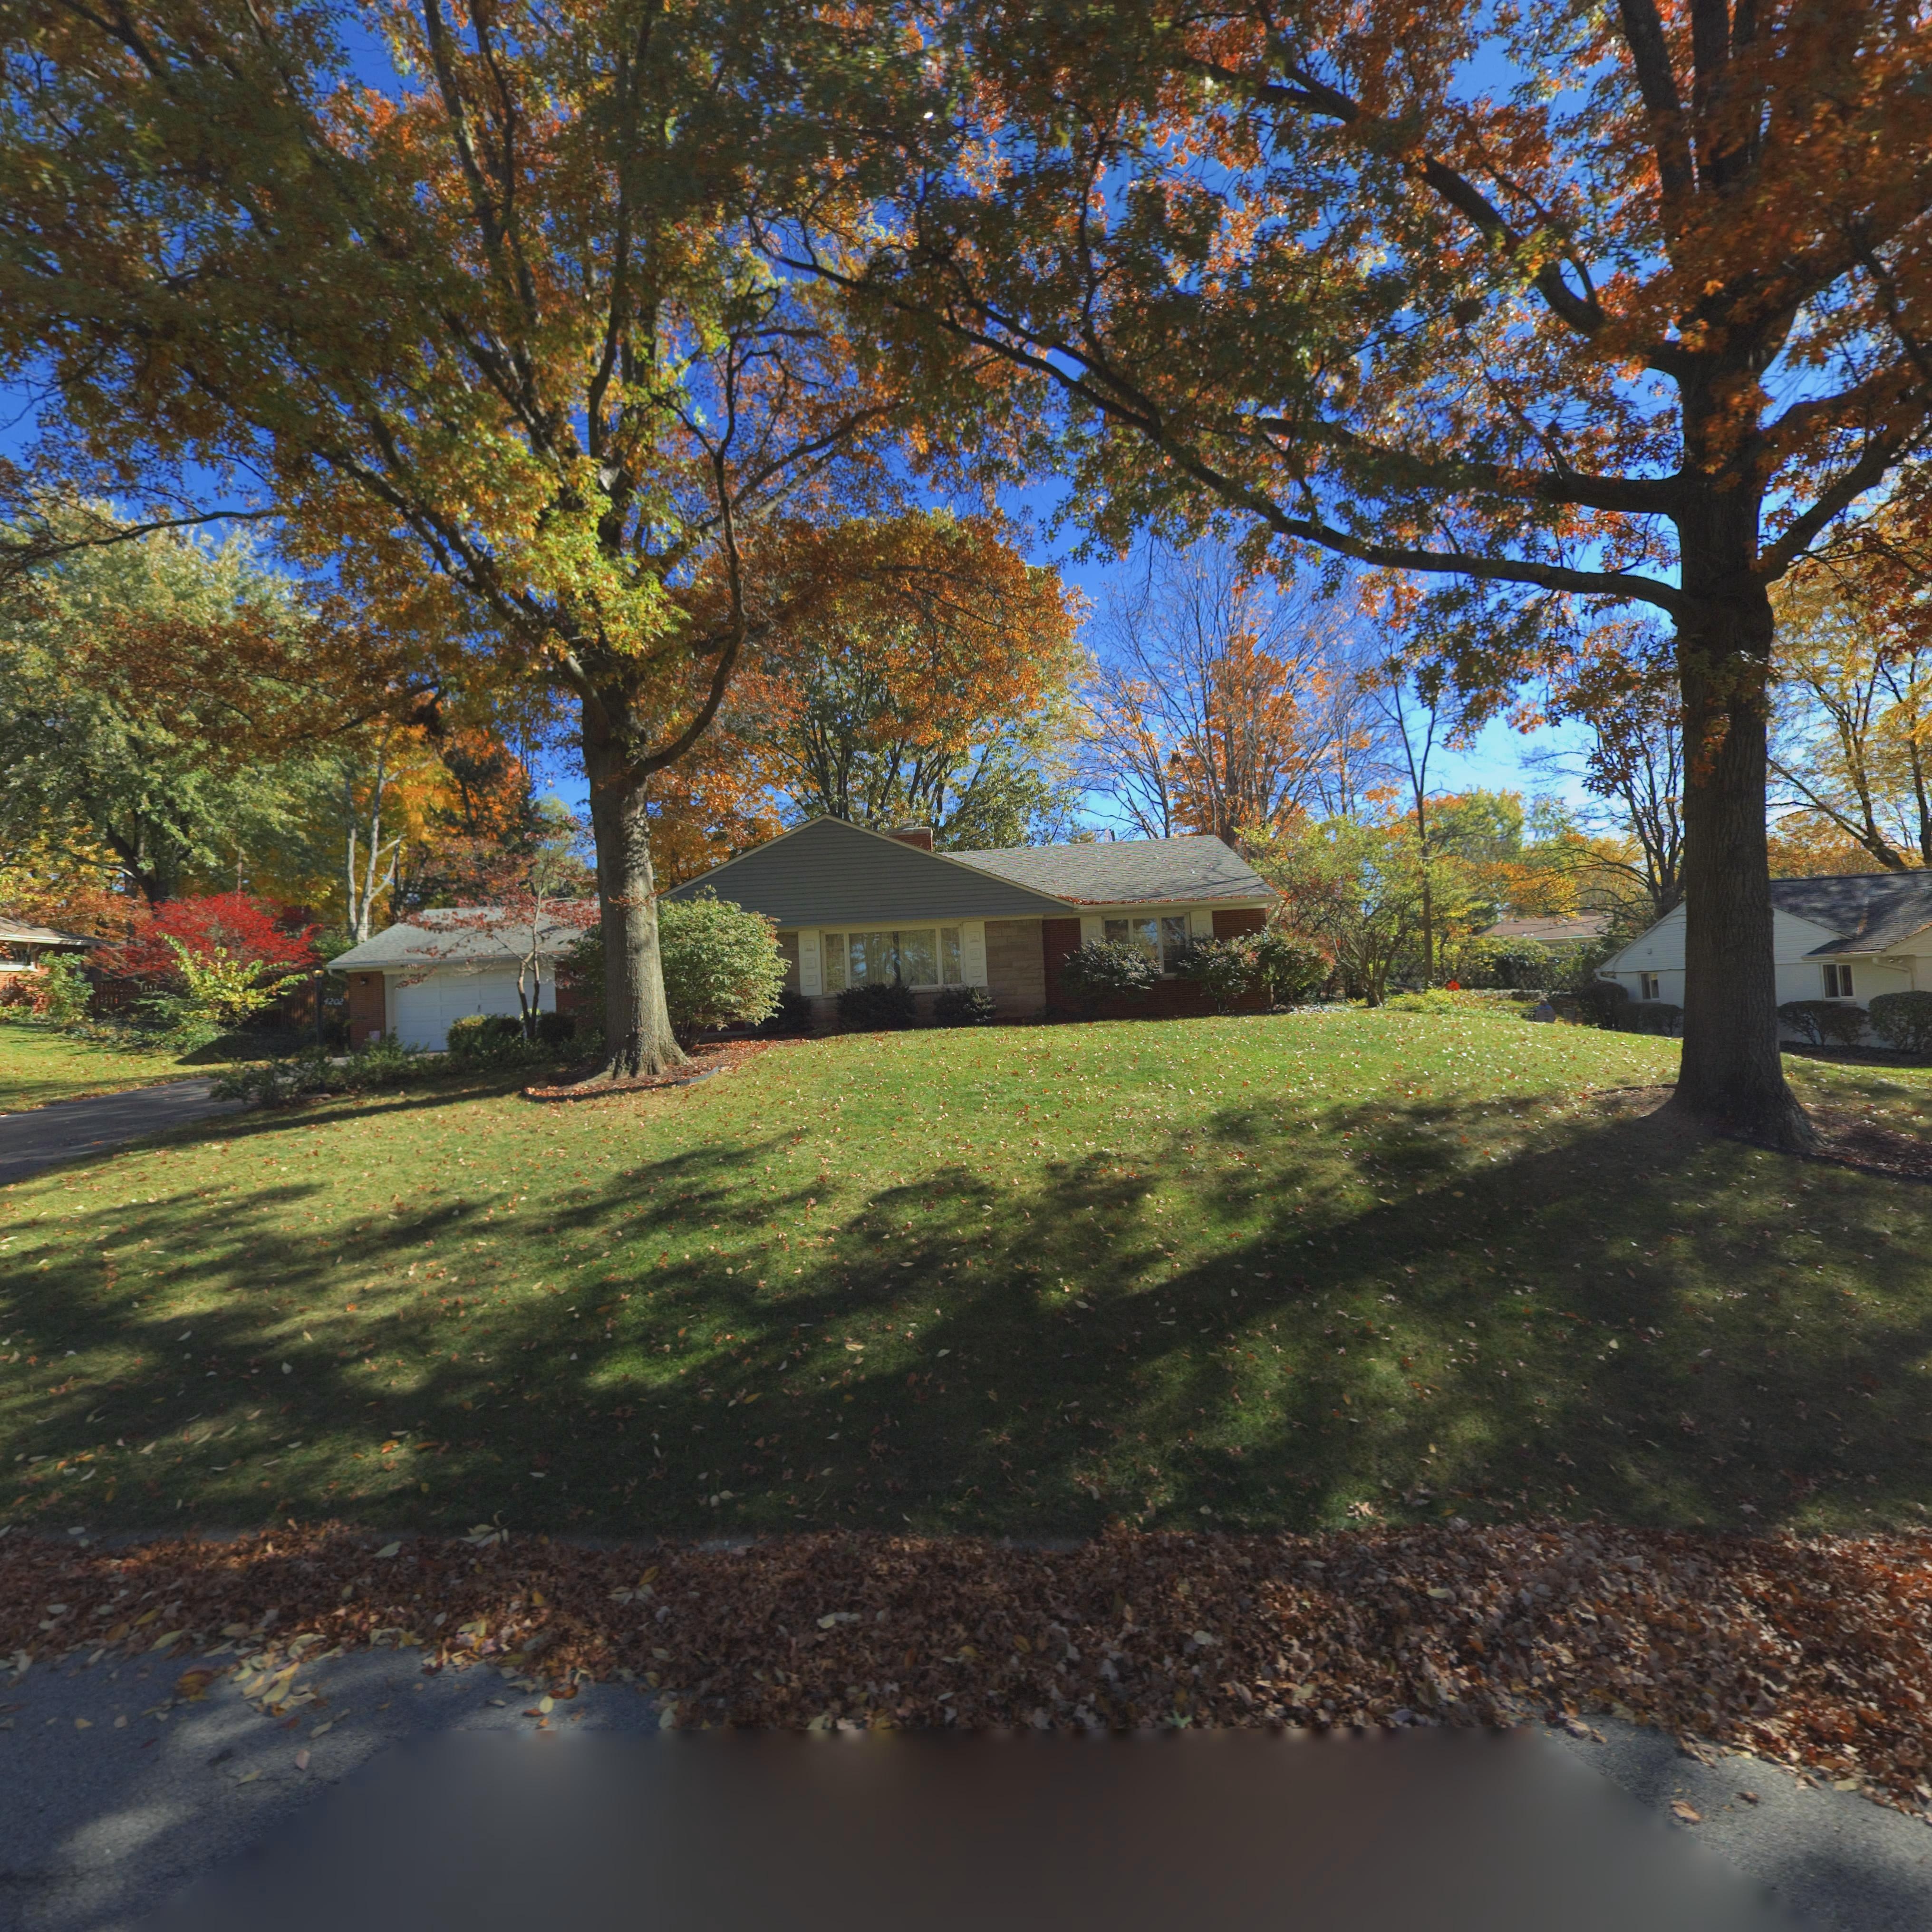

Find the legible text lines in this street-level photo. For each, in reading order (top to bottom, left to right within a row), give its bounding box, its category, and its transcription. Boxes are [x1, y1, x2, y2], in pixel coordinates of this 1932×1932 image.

[323, 997, 344, 1005] StreetNumber: 4202